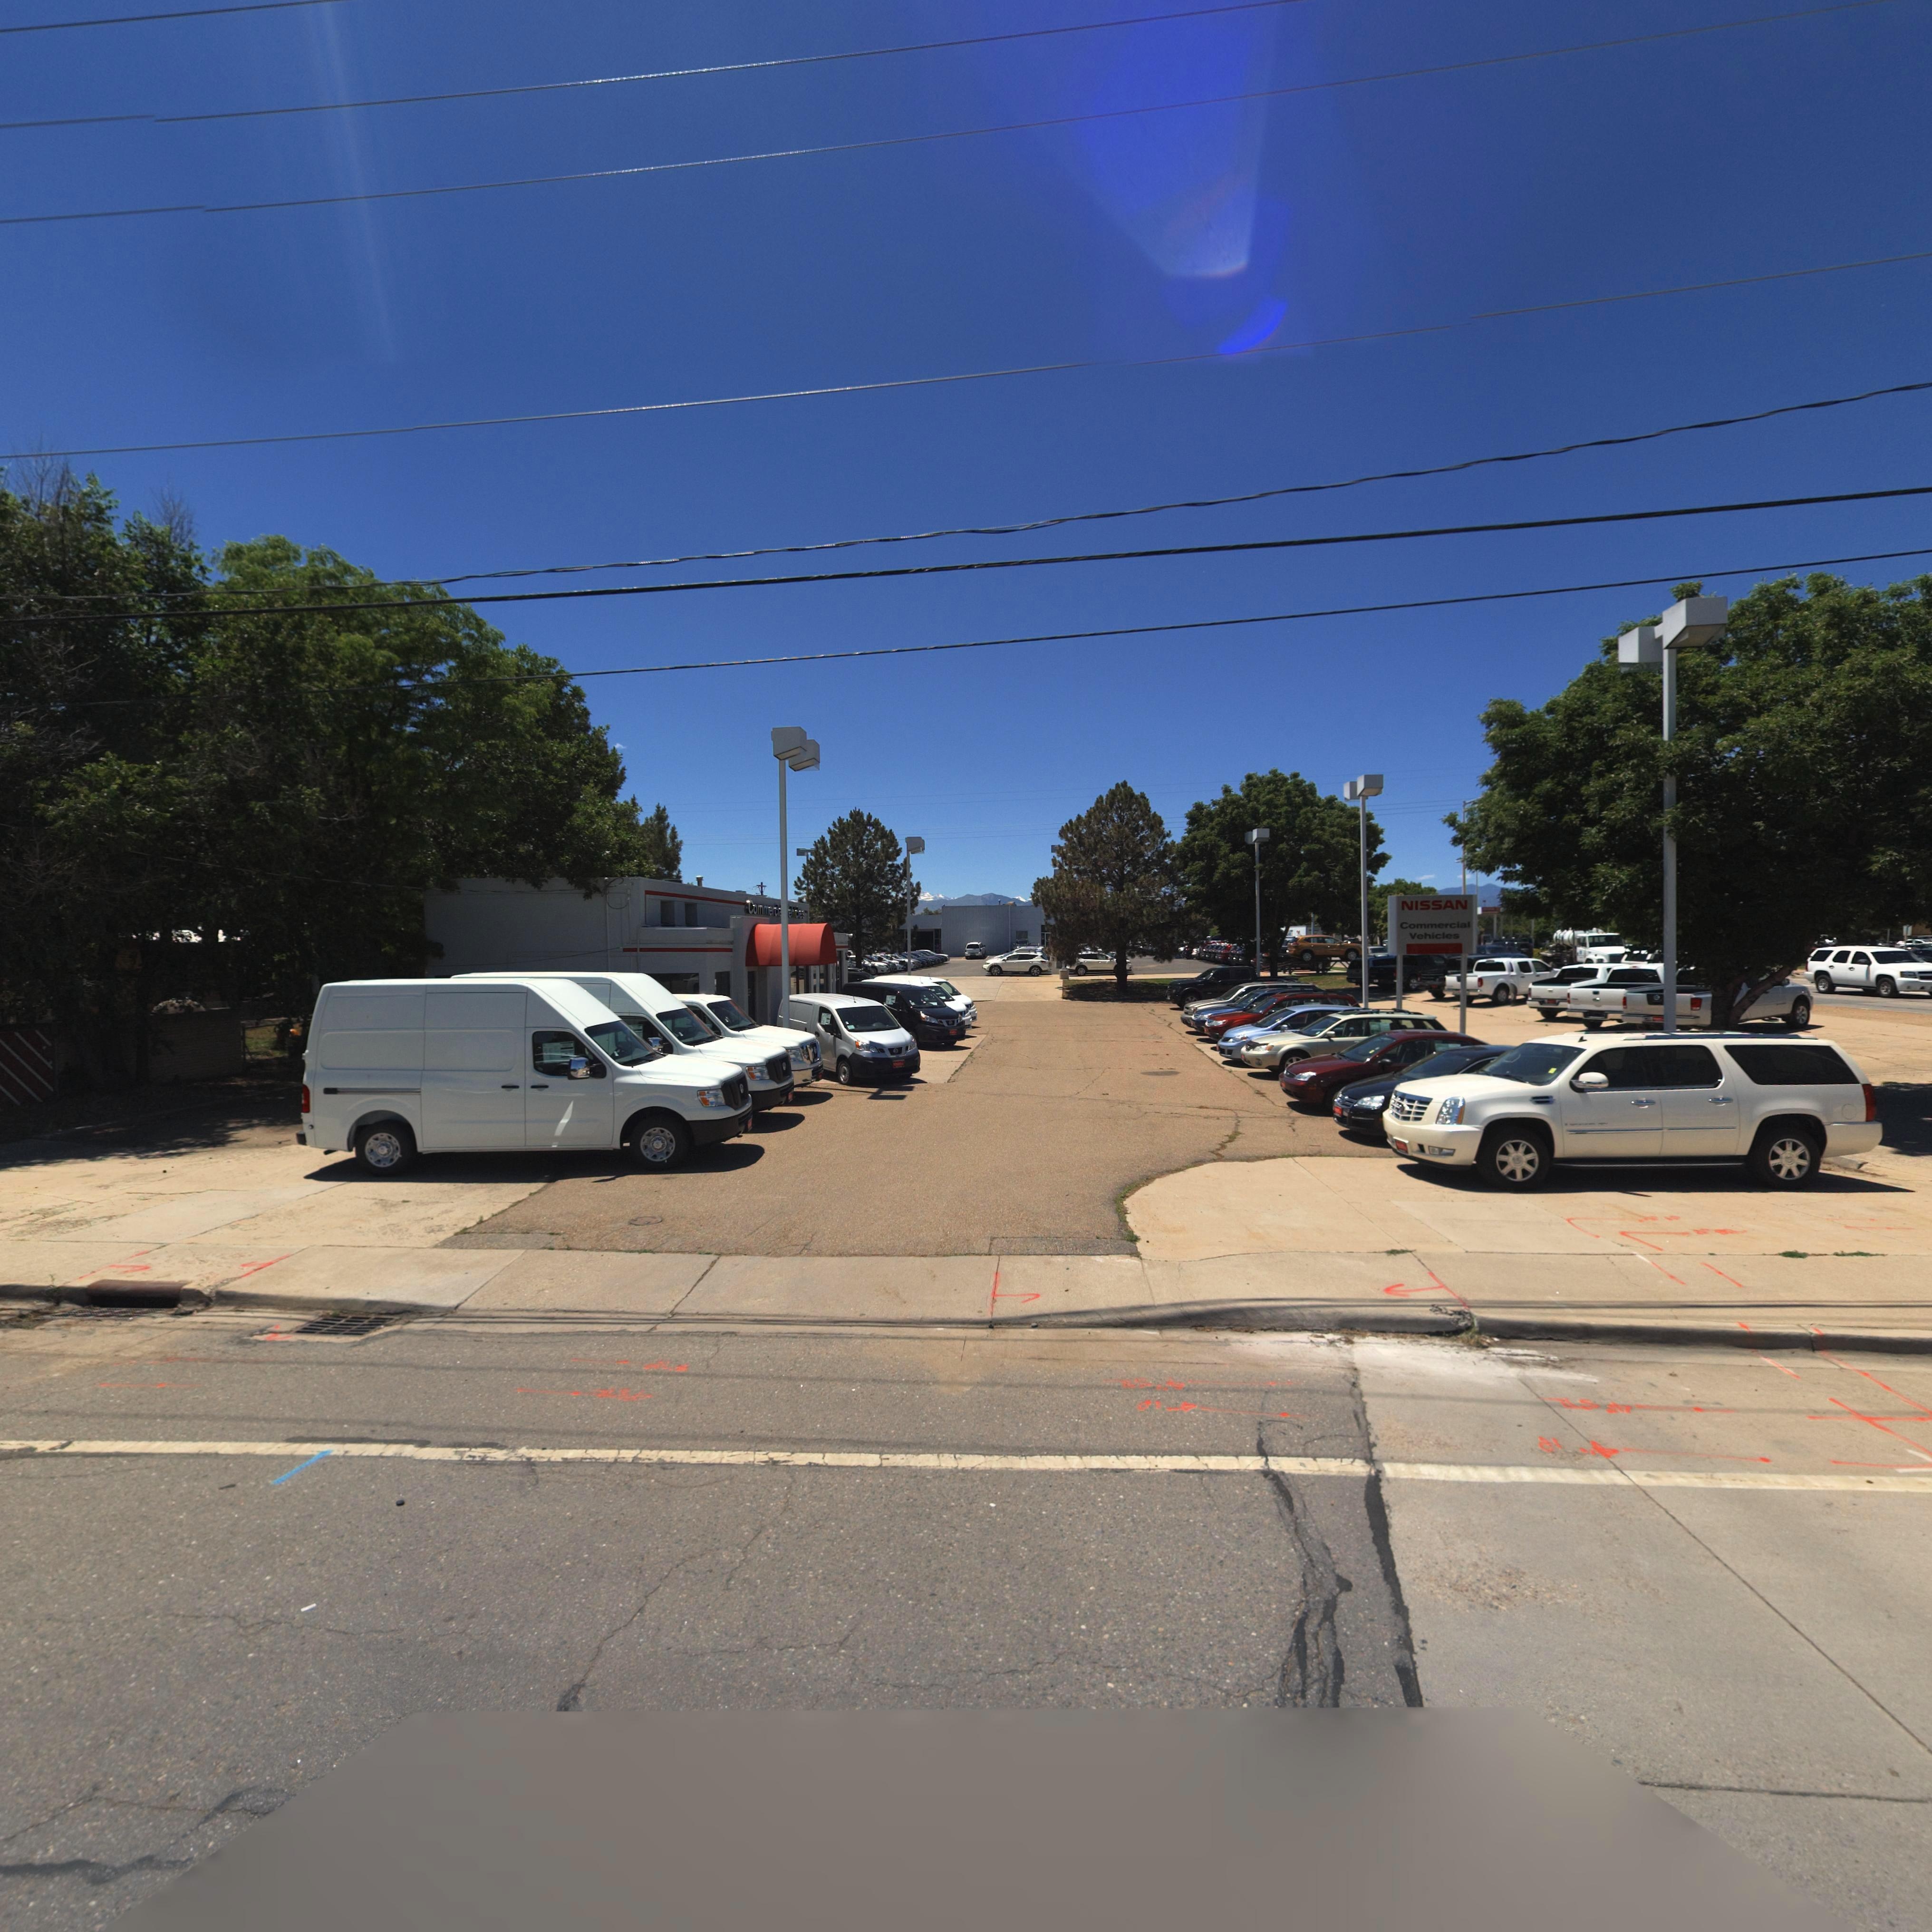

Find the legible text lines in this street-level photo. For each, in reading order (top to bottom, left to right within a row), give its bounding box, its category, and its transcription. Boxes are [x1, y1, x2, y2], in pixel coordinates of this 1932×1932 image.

[1400, 899, 1468, 911] BusinessName: NISSAN